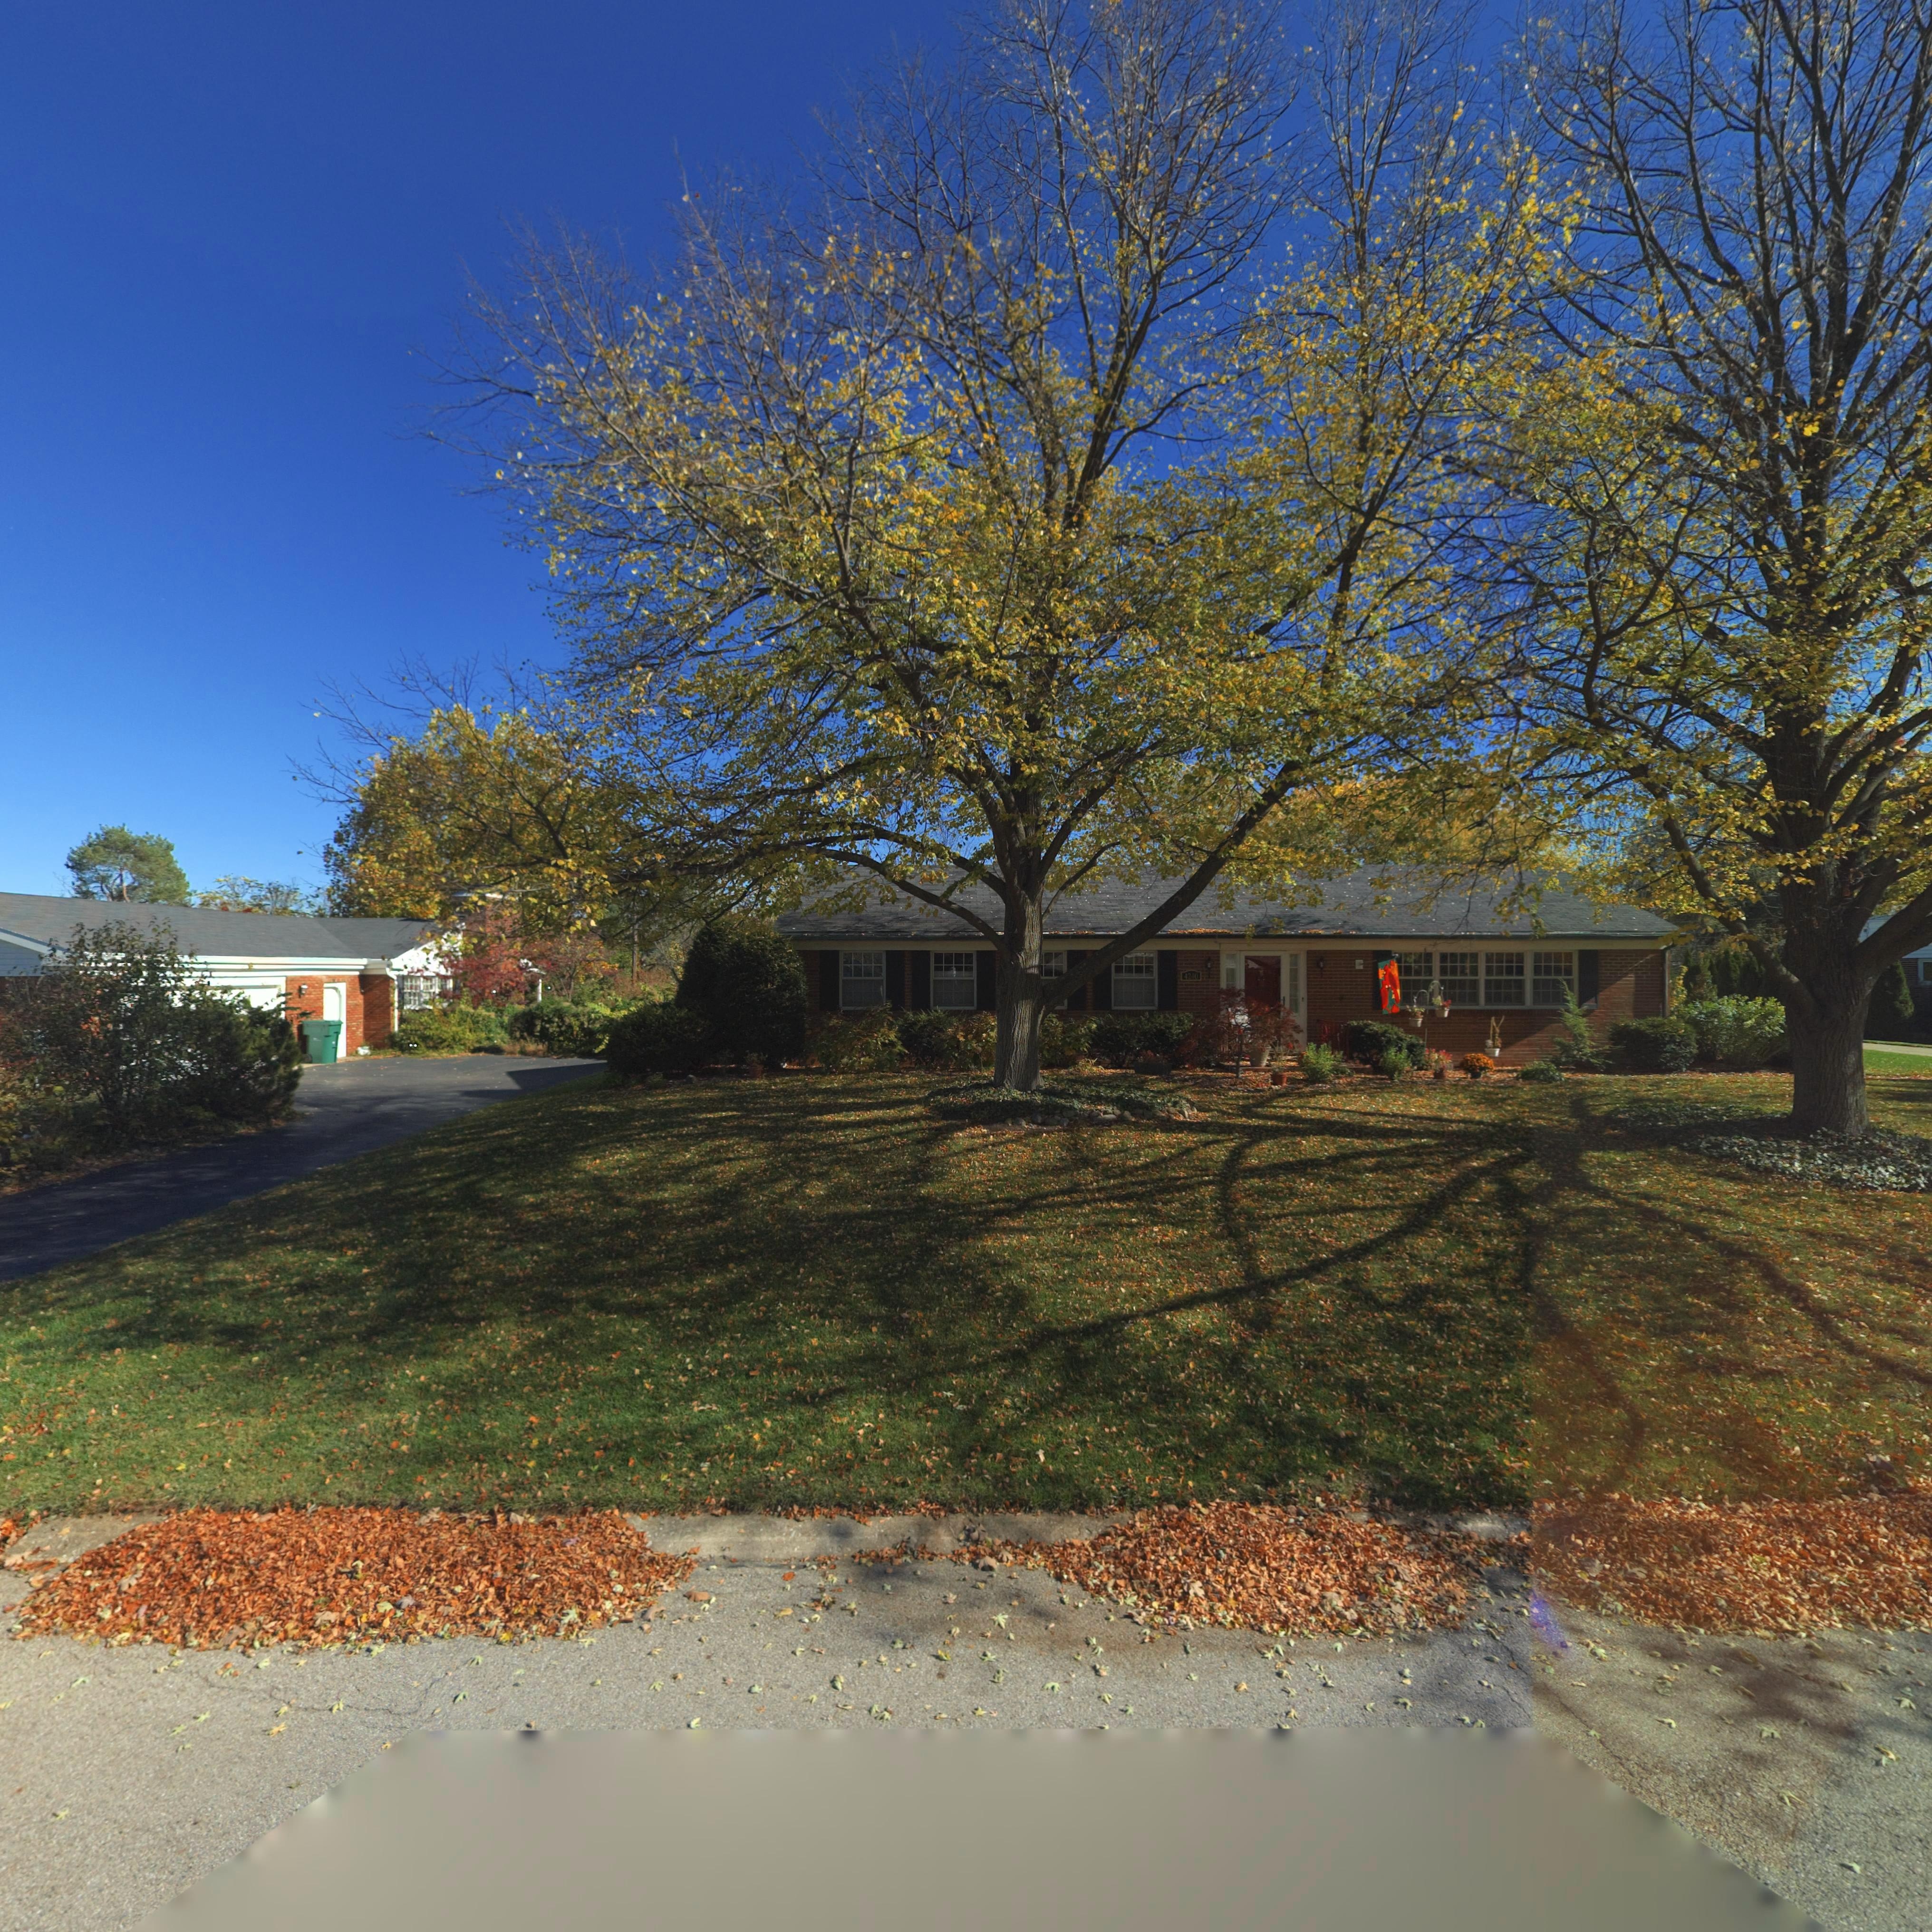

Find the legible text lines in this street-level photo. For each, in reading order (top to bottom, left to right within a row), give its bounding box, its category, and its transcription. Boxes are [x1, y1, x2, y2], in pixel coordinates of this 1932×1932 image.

[1184, 973, 1198, 980] StreetNumber: 4240